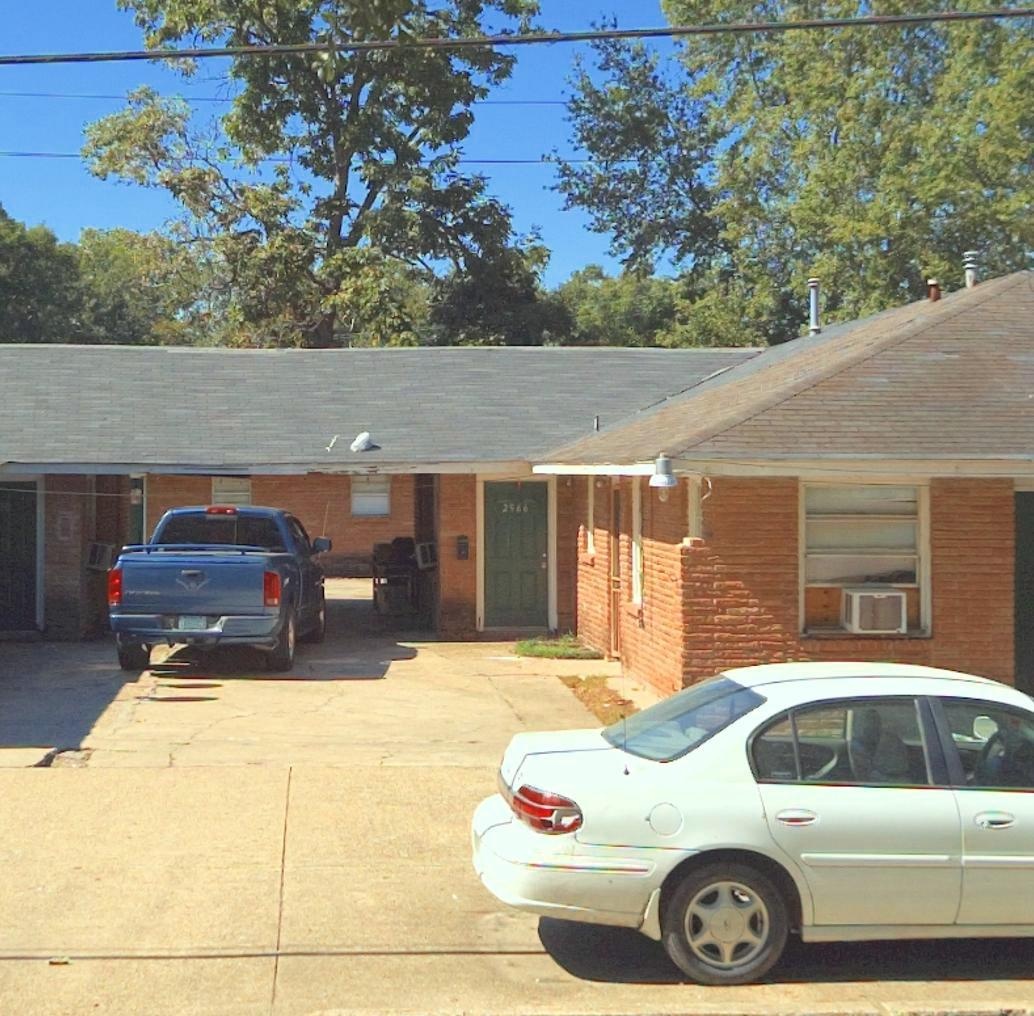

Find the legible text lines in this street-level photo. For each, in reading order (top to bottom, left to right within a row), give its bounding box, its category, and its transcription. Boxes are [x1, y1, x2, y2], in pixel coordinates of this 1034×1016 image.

[501, 502, 530, 513] StreetNumber: 2966